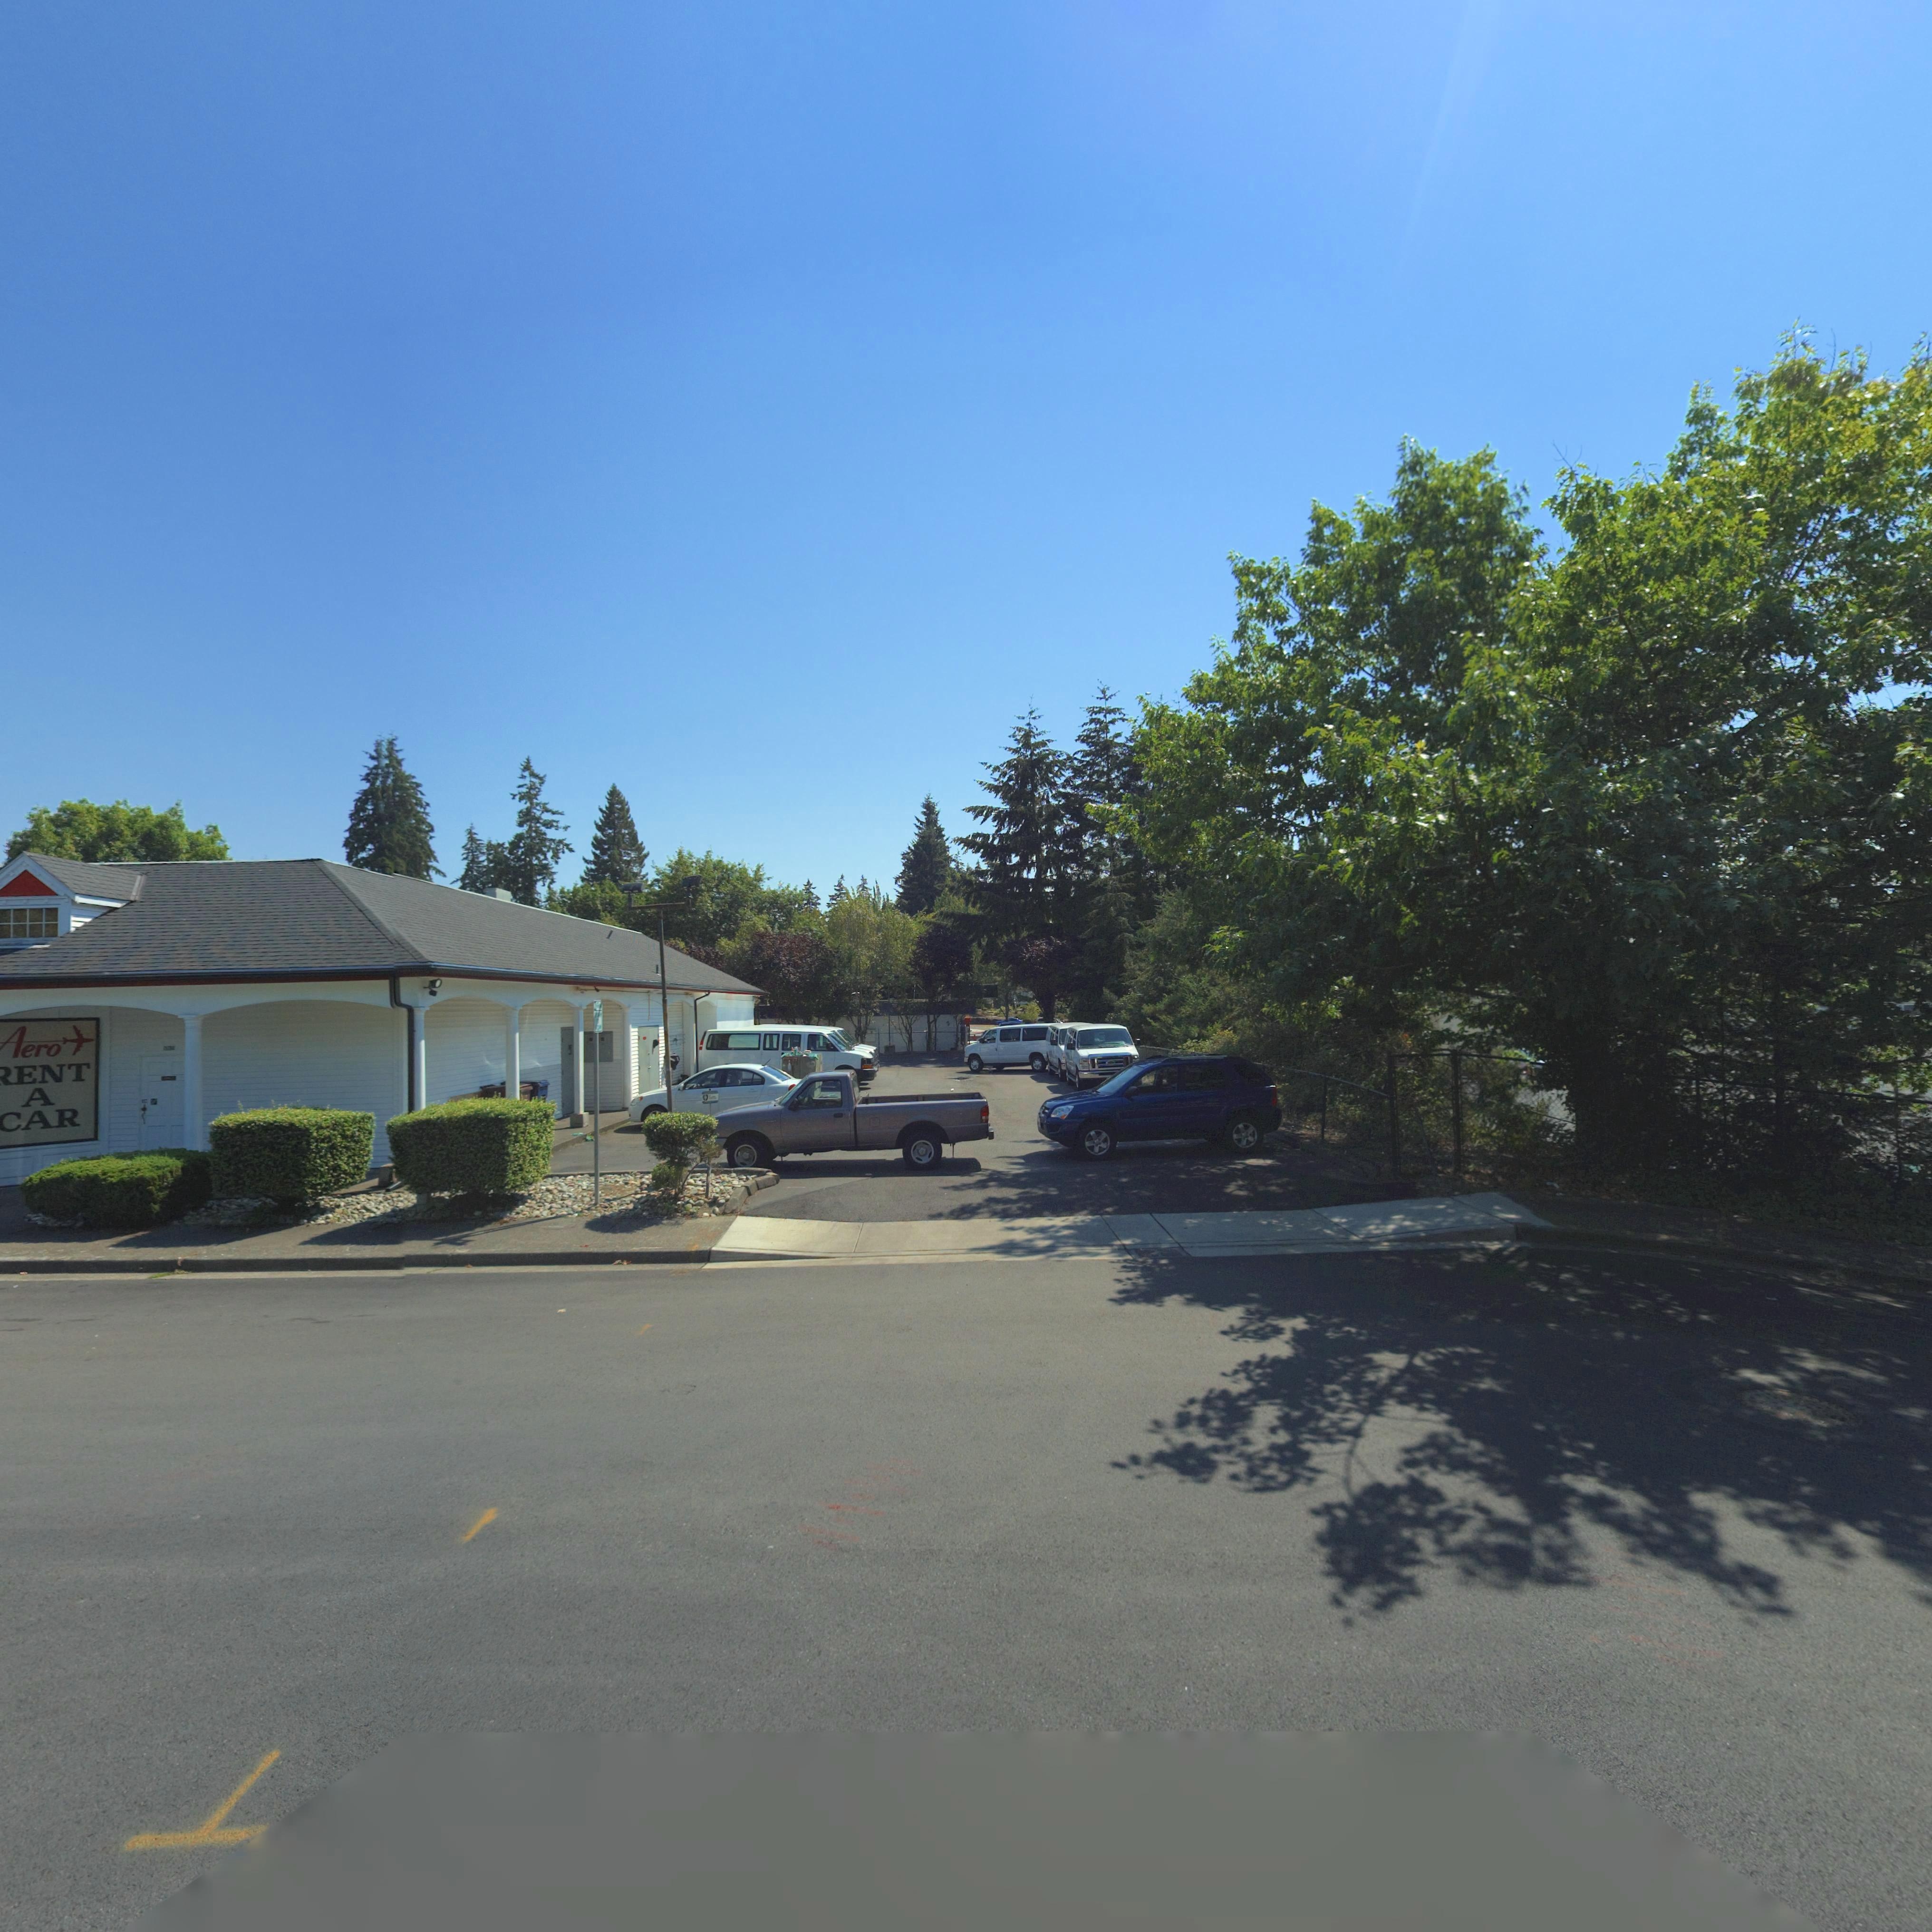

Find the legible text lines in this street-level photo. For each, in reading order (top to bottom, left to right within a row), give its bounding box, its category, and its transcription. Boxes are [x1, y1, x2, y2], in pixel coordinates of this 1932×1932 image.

[19, 1043, 62, 1058] BusinessName: ero
[0, 1063, 91, 1085] BusinessName: *ENT
[20, 1087, 57, 1108] BusinessName: A
[0, 1108, 80, 1132] BusinessName: CAR